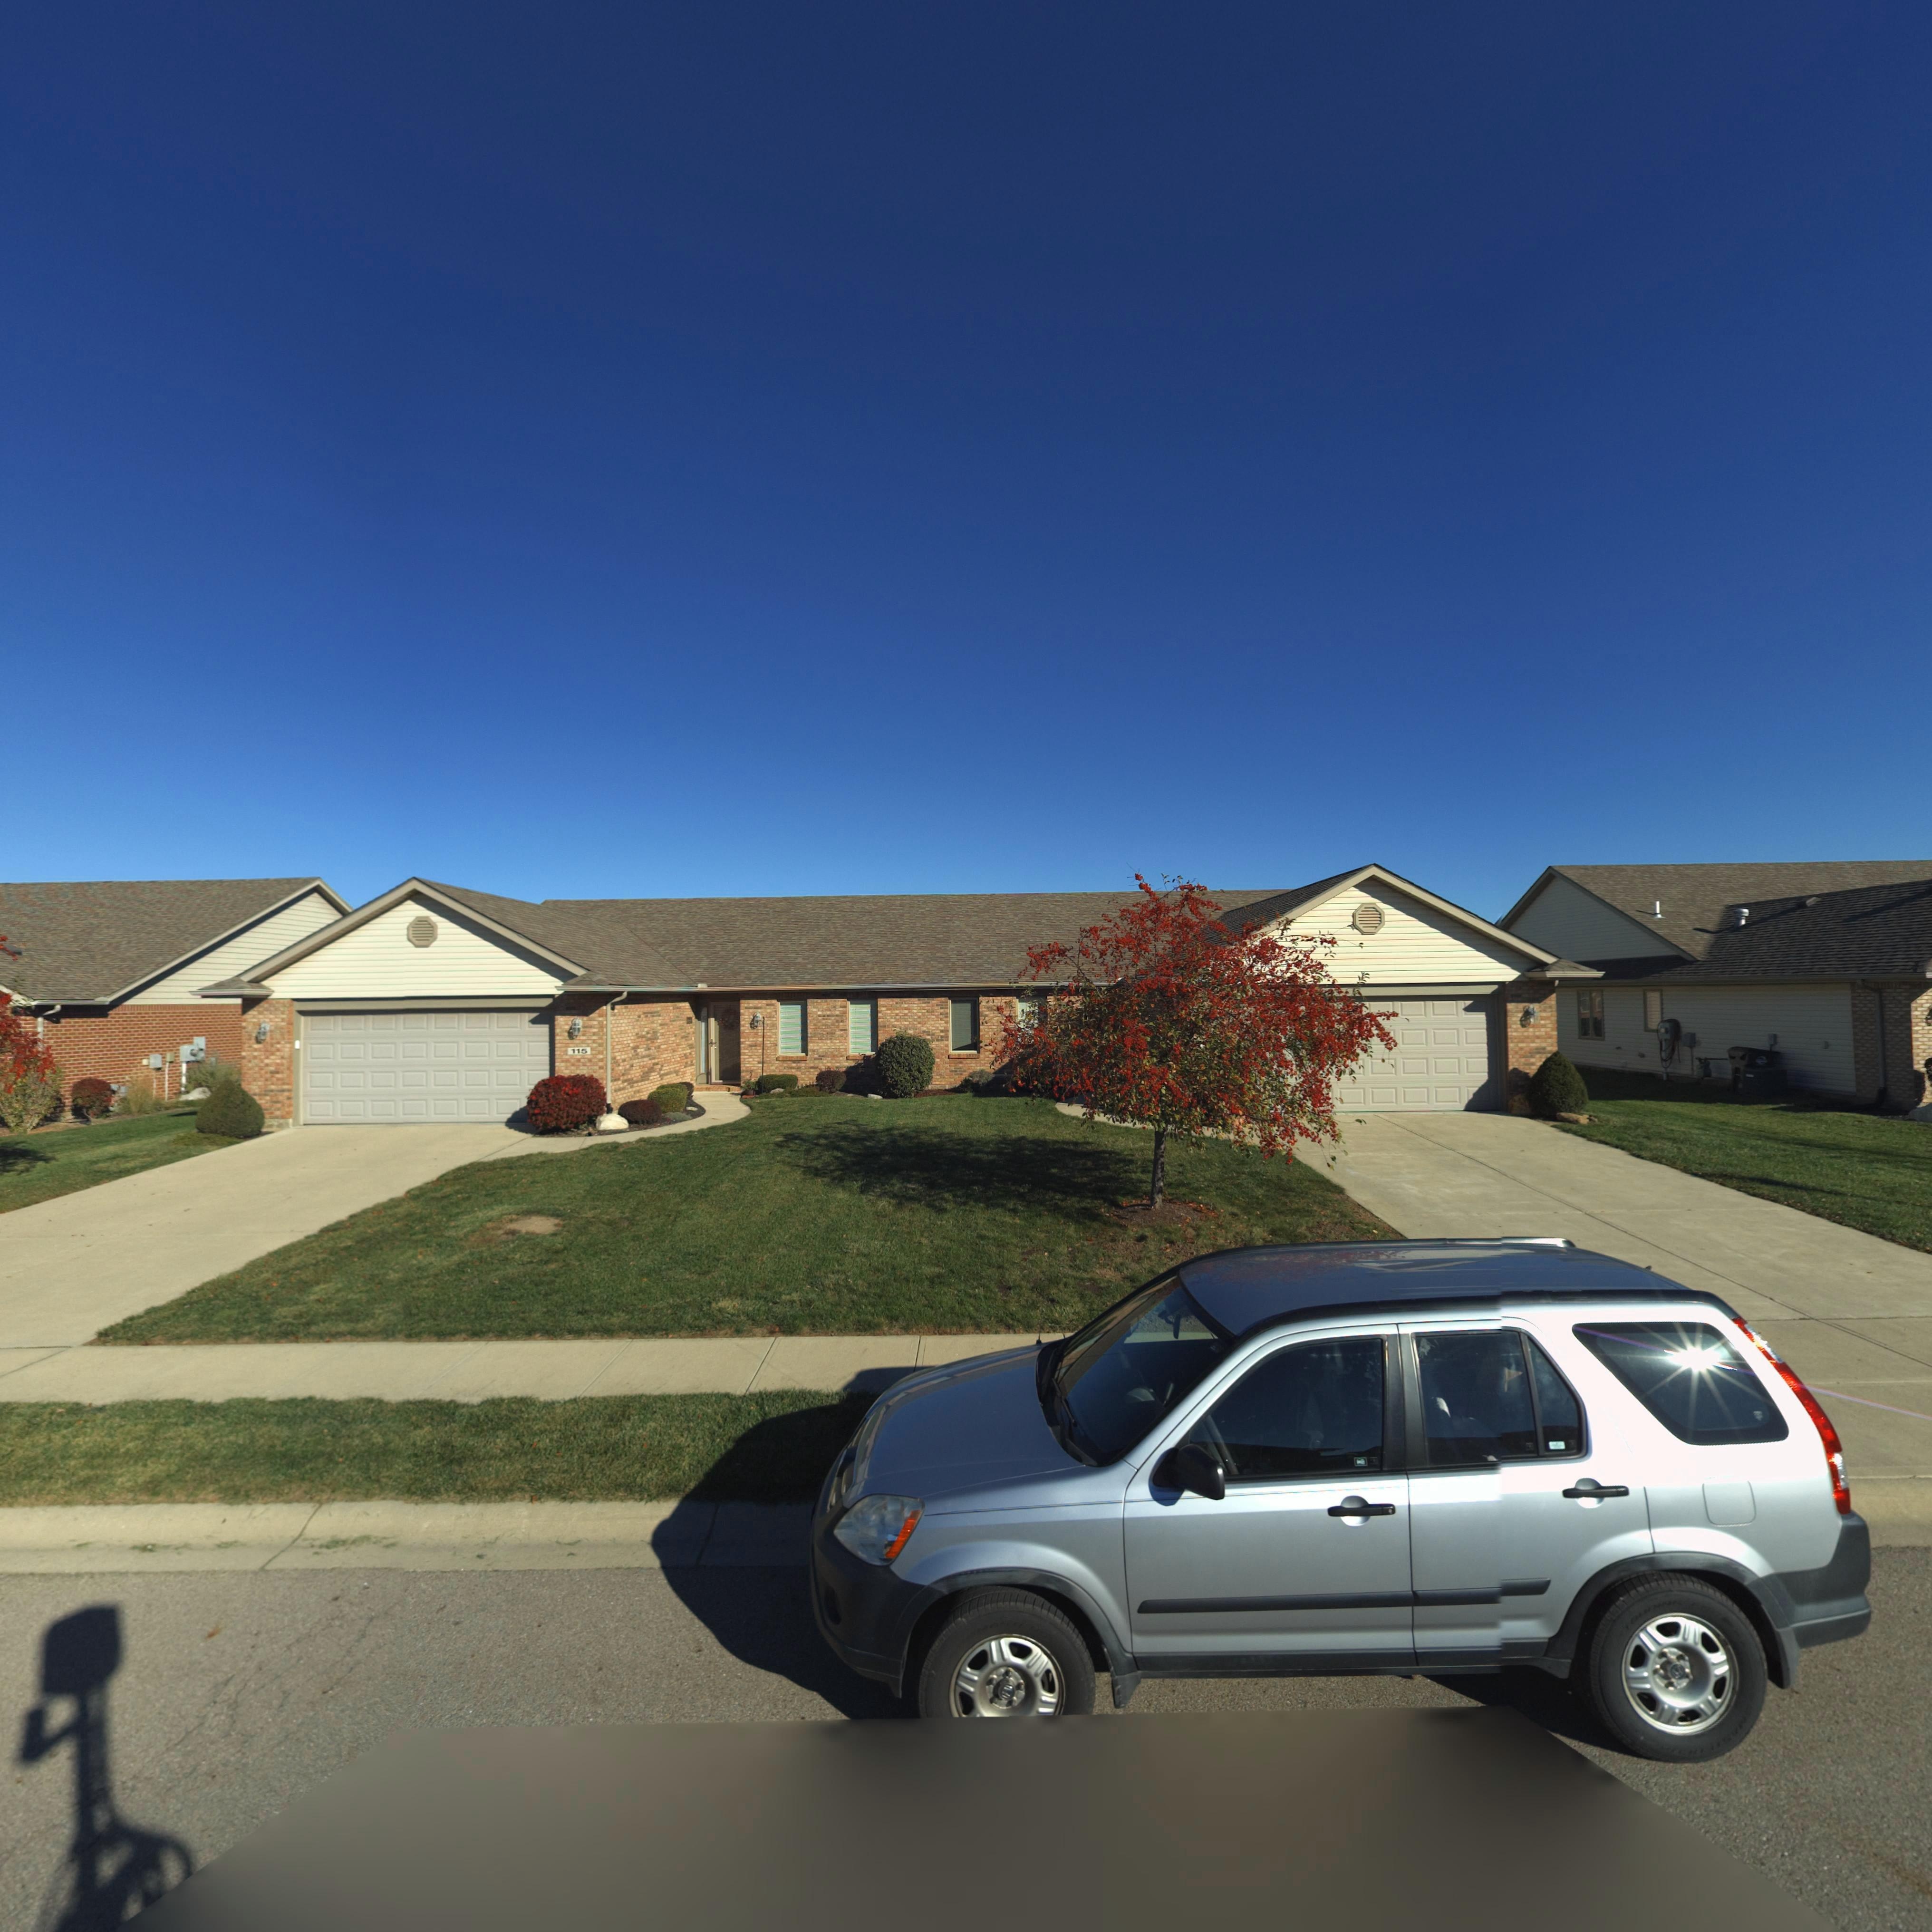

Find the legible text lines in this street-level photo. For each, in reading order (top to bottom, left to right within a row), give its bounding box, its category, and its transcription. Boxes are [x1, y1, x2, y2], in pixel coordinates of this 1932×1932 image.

[570, 1048, 589, 1054] StreetNumber: 115